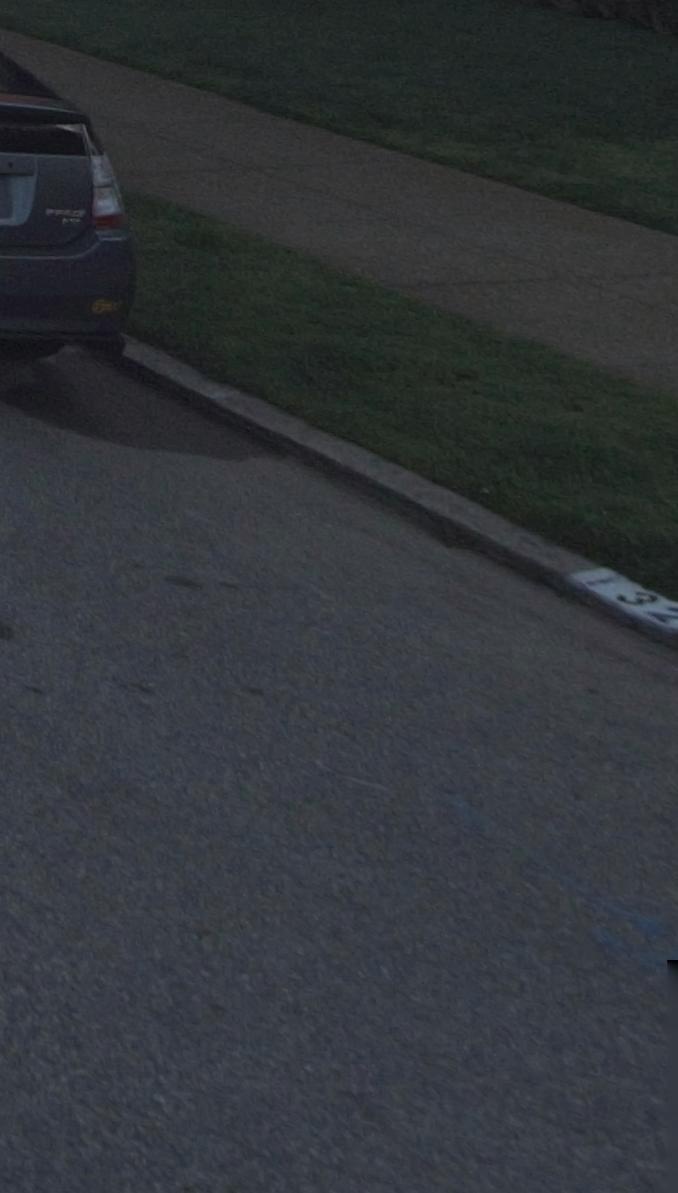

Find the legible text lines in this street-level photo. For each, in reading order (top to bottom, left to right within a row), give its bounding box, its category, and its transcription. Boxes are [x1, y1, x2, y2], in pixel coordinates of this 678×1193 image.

[583, 573, 670, 613] StreetNumber: 13